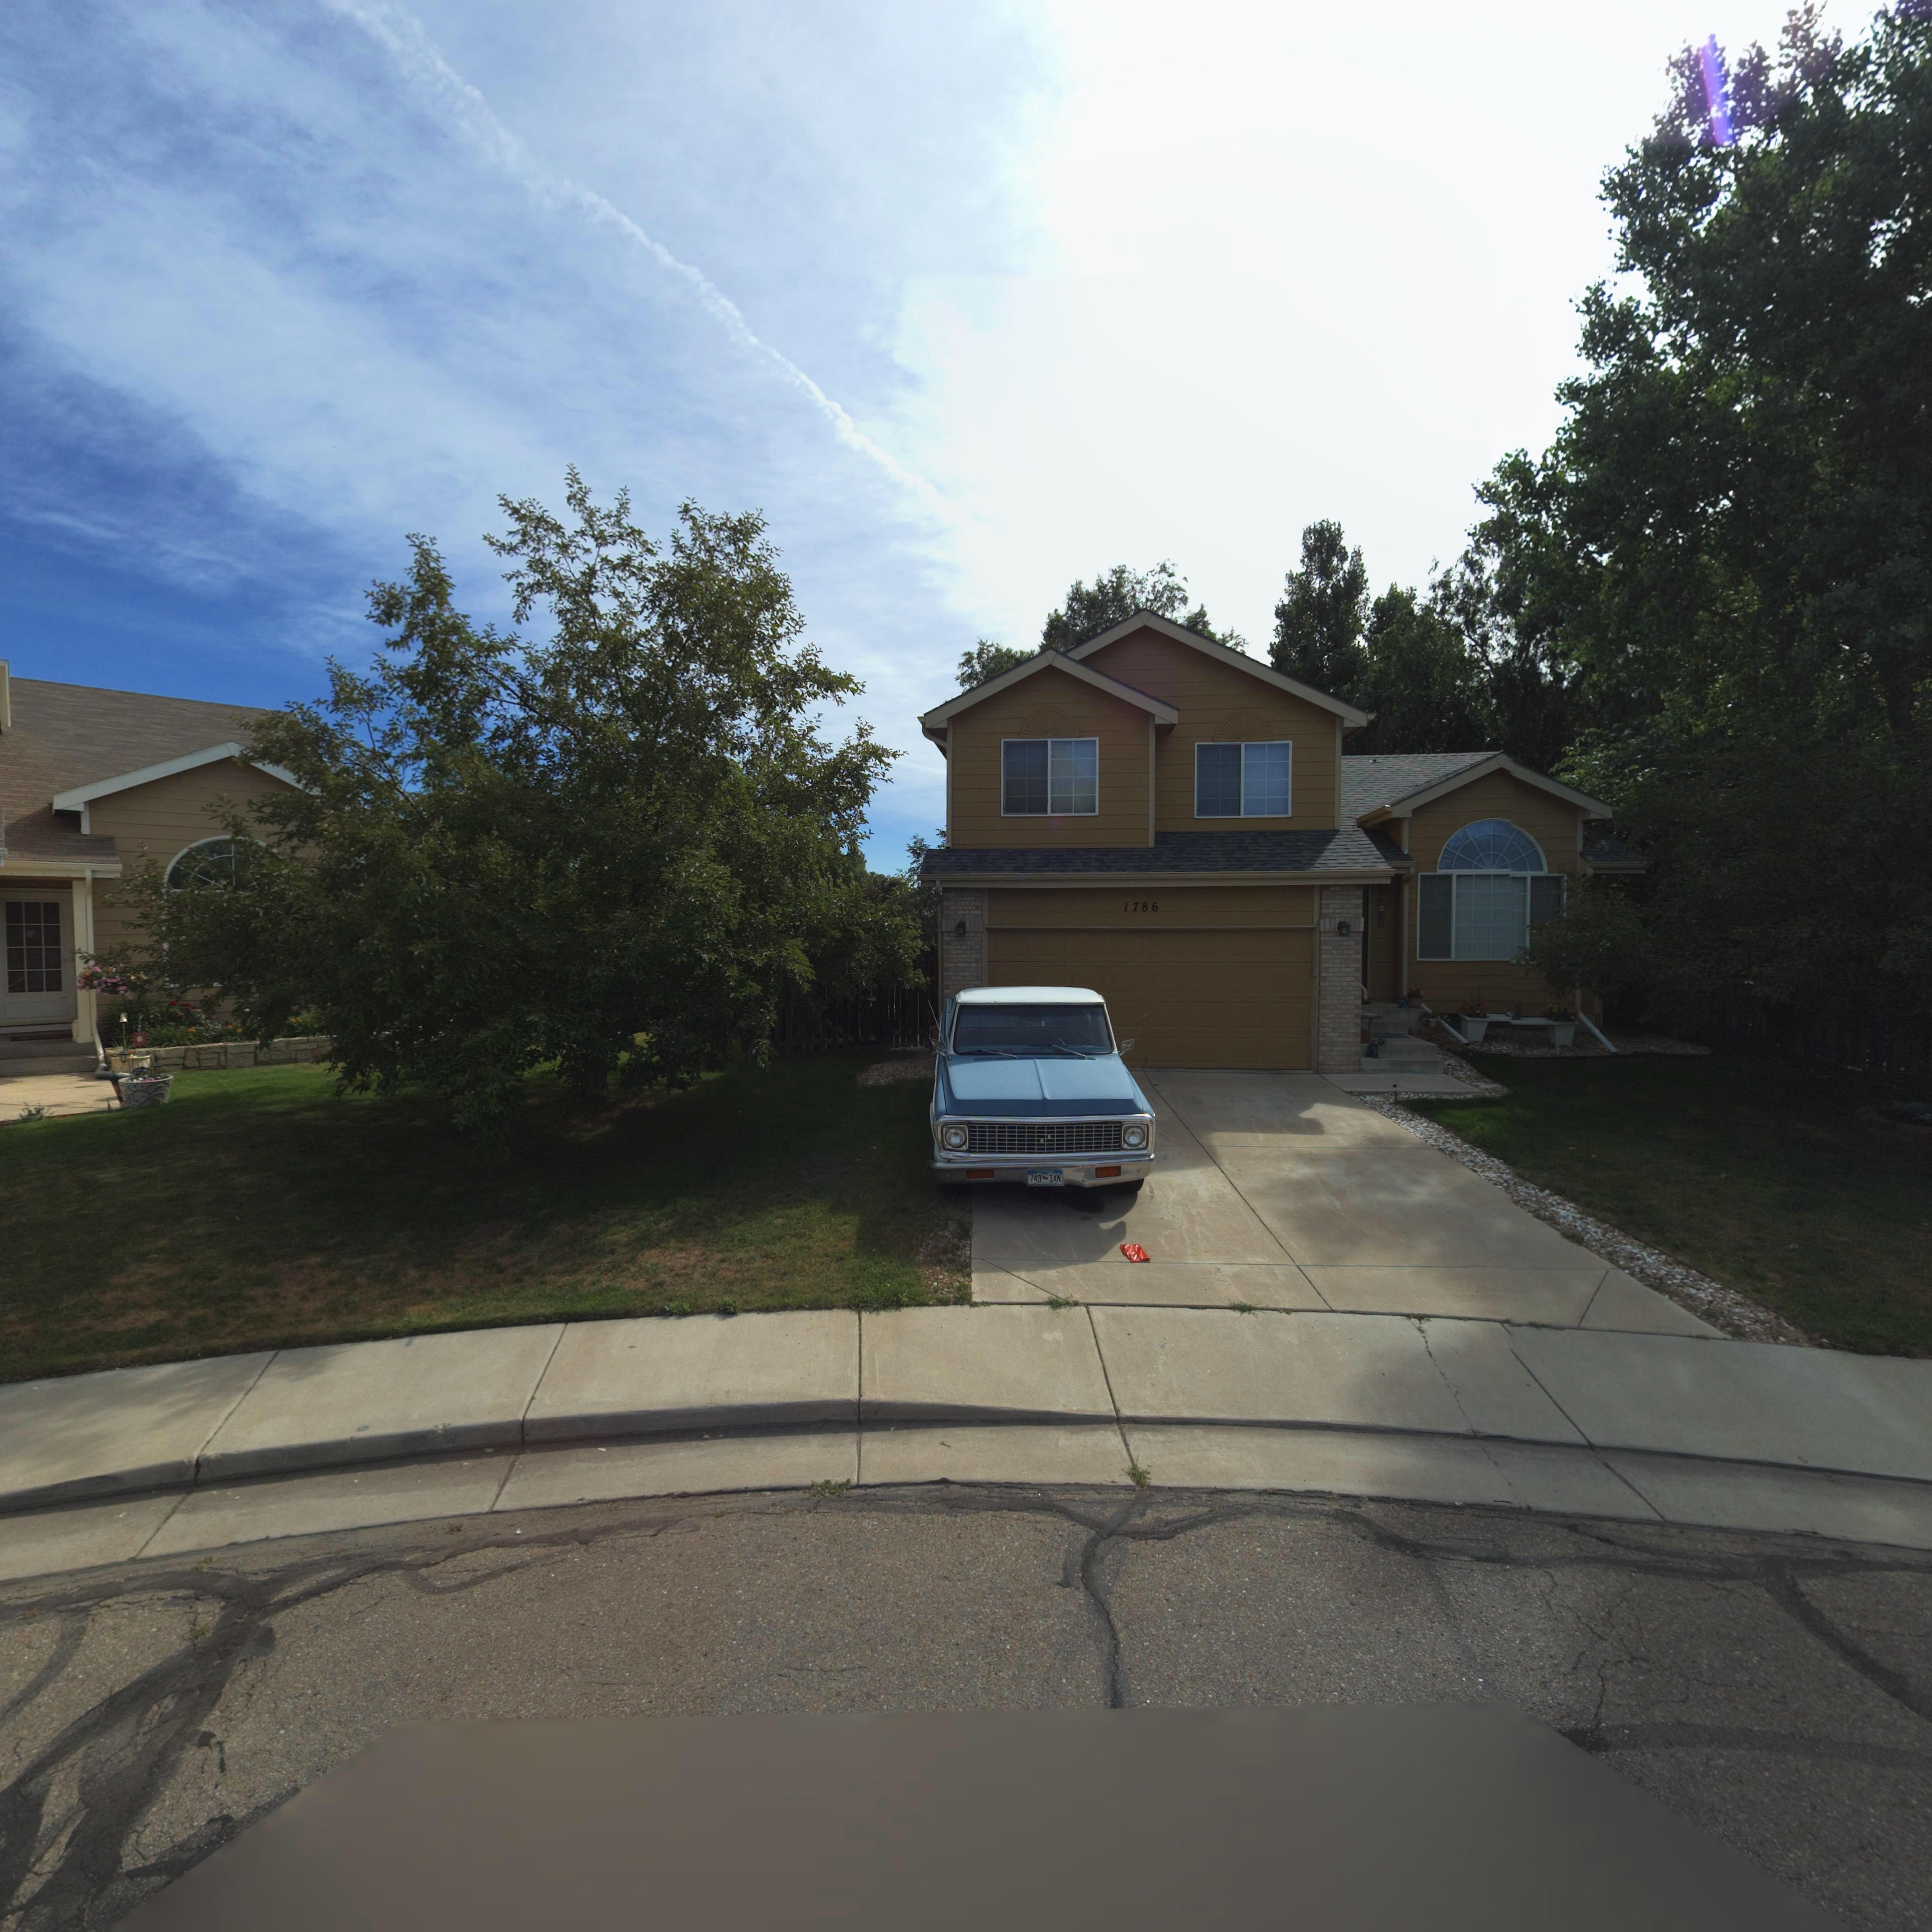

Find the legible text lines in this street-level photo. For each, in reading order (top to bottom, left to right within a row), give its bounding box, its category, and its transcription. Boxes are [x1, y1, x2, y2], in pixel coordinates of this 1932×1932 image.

[1123, 902, 1158, 911] StreetNumber: 1786